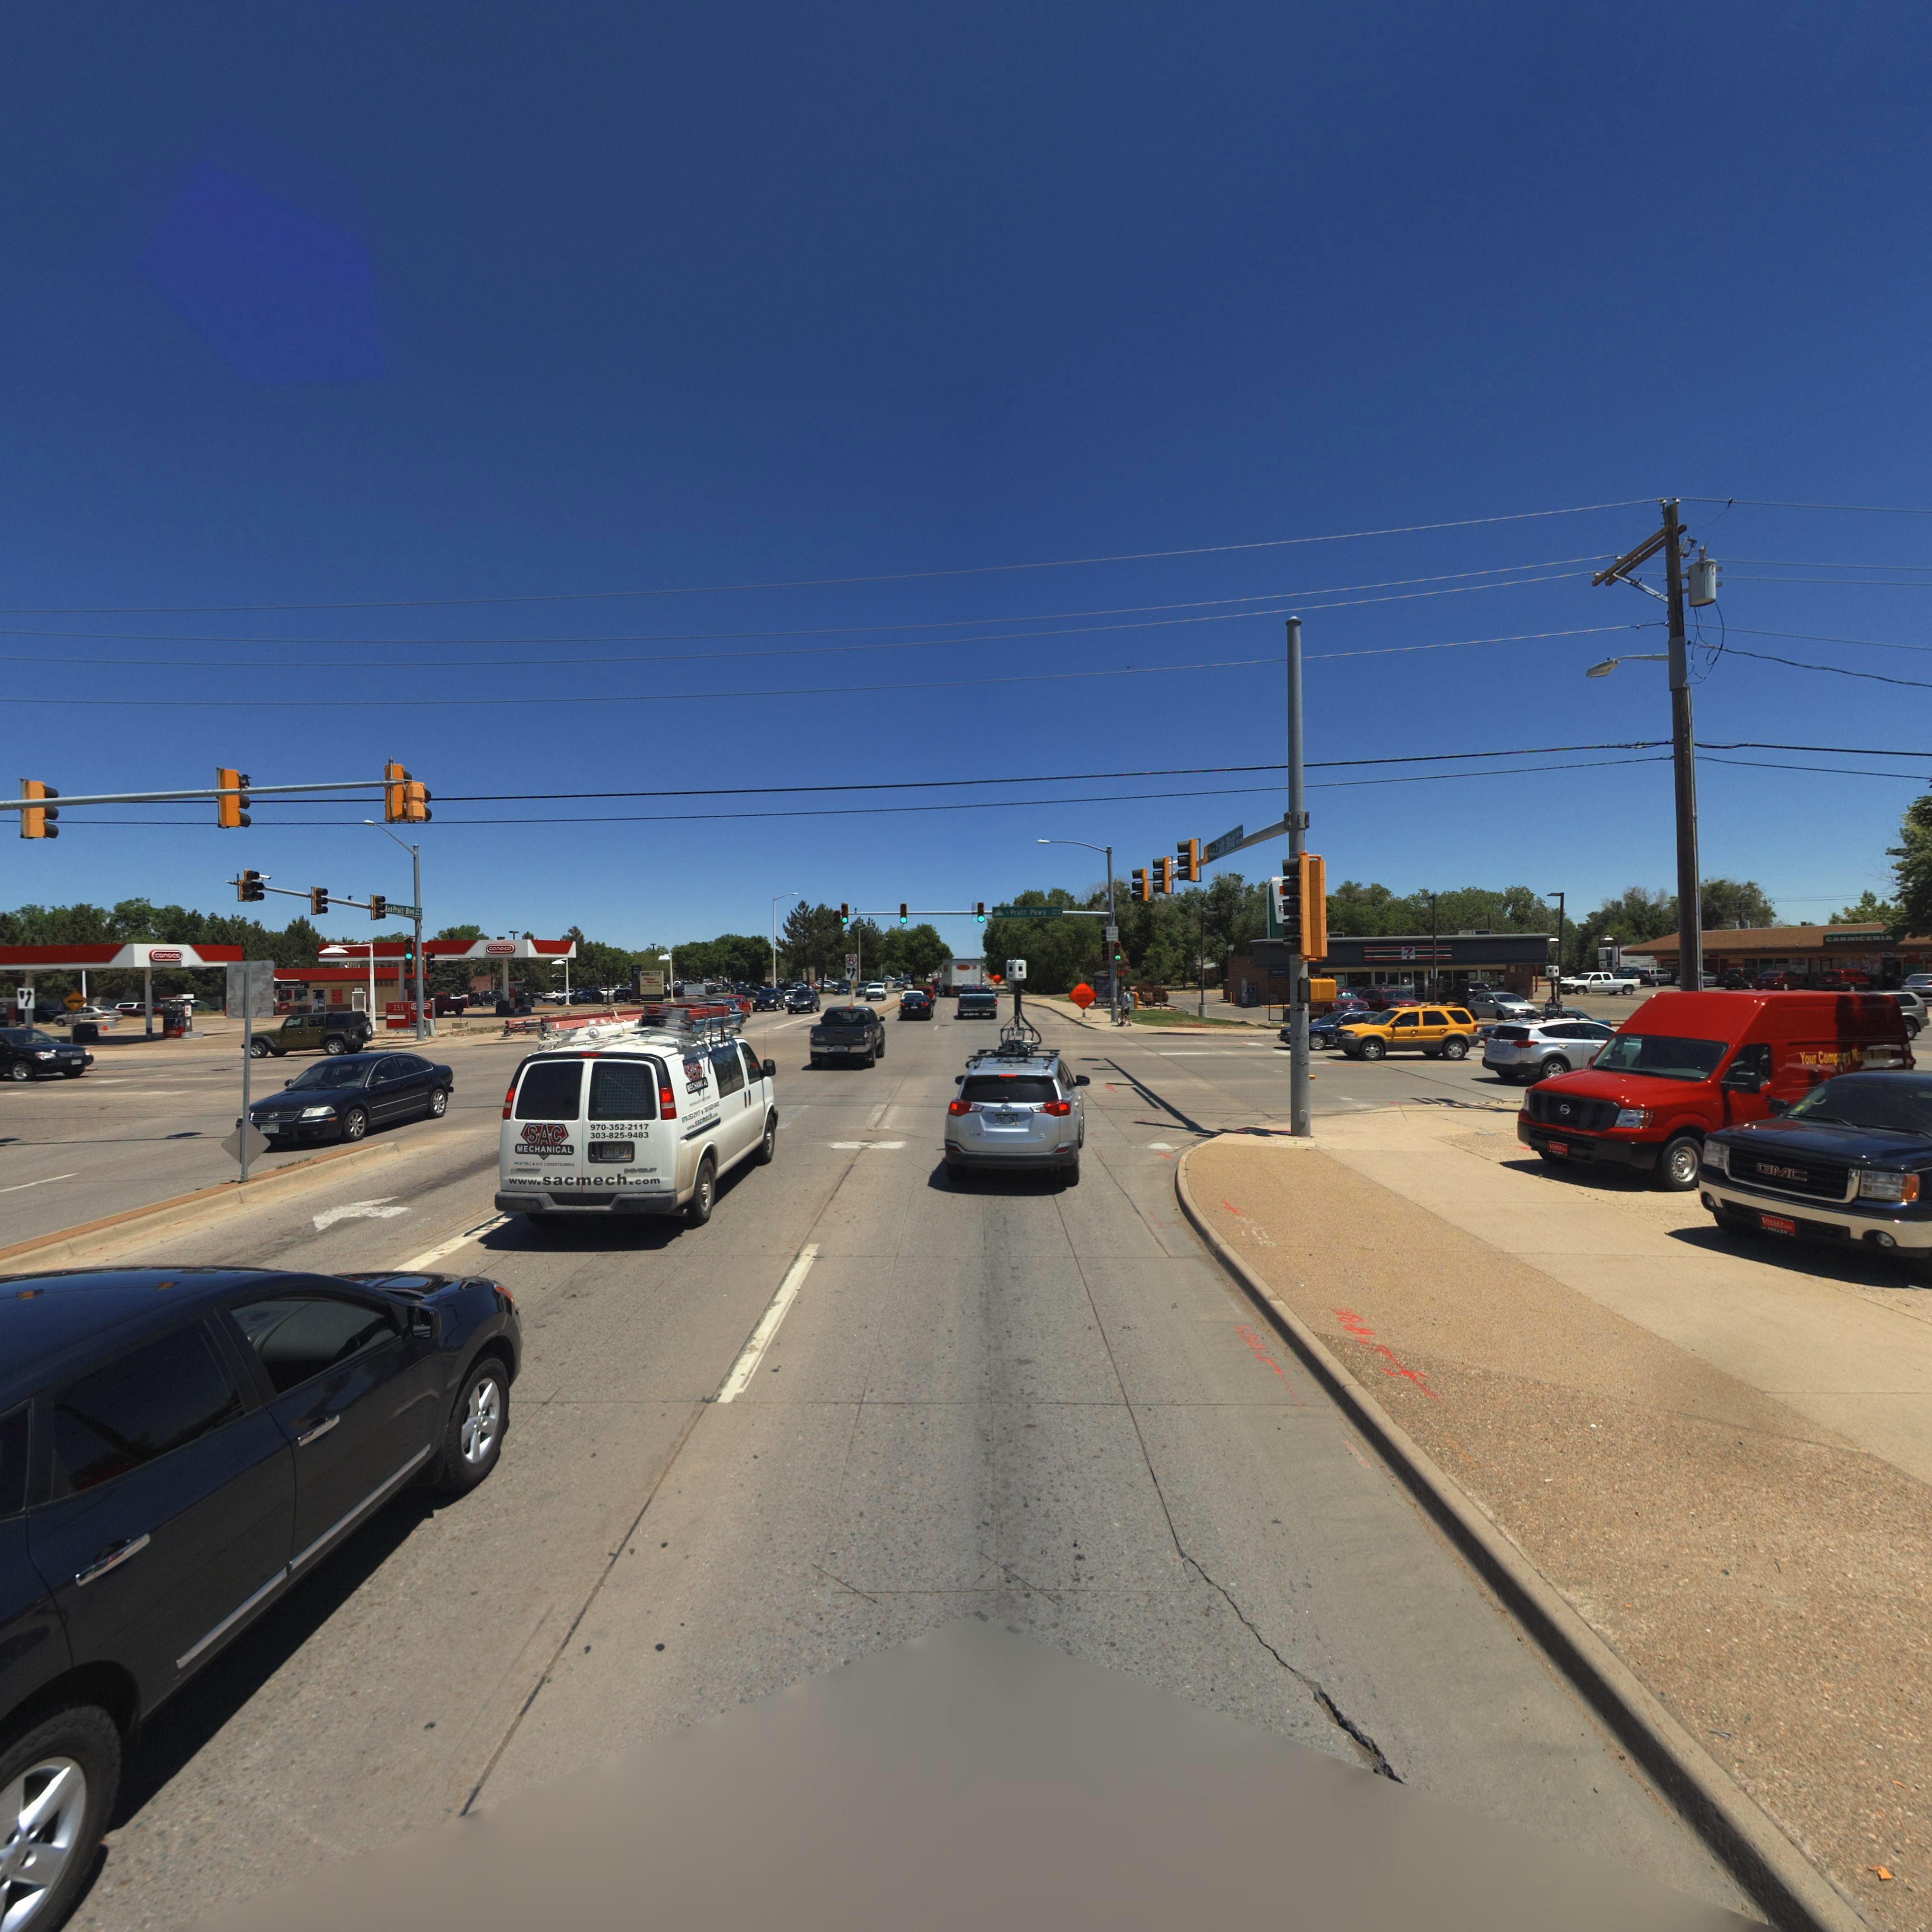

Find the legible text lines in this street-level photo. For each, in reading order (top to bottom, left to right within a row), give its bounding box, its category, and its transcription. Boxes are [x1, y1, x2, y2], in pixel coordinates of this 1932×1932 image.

[1236, 829, 1240, 837] StreetNumberRange: *00
[1236, 837, 1242, 845] StreetNumberRange: *00->
[1208, 833, 1235, 859] StreetName: Ken Pratt Blvd
[384, 904, 414, 915] StreetName: Ken Pratt Blvd
[1010, 909, 1047, 917] StreetName: Pratt Pkwy
[1278, 904, 1284, 911] BusinessName: E
[488, 946, 512, 950] BusinessName: conoco
[154, 953, 180, 958] BusinessName: conoco
[1404, 947, 1413, 958] BusinessName: 7
[641, 972, 660, 976] BusinessName: BIG LOTS!
[643, 977, 656, 981] BusinessName: L***y*s
[646, 980, 659, 983] BusinessName: M**k*t
[412, 1004, 429, 1008] BusinessName: c***co